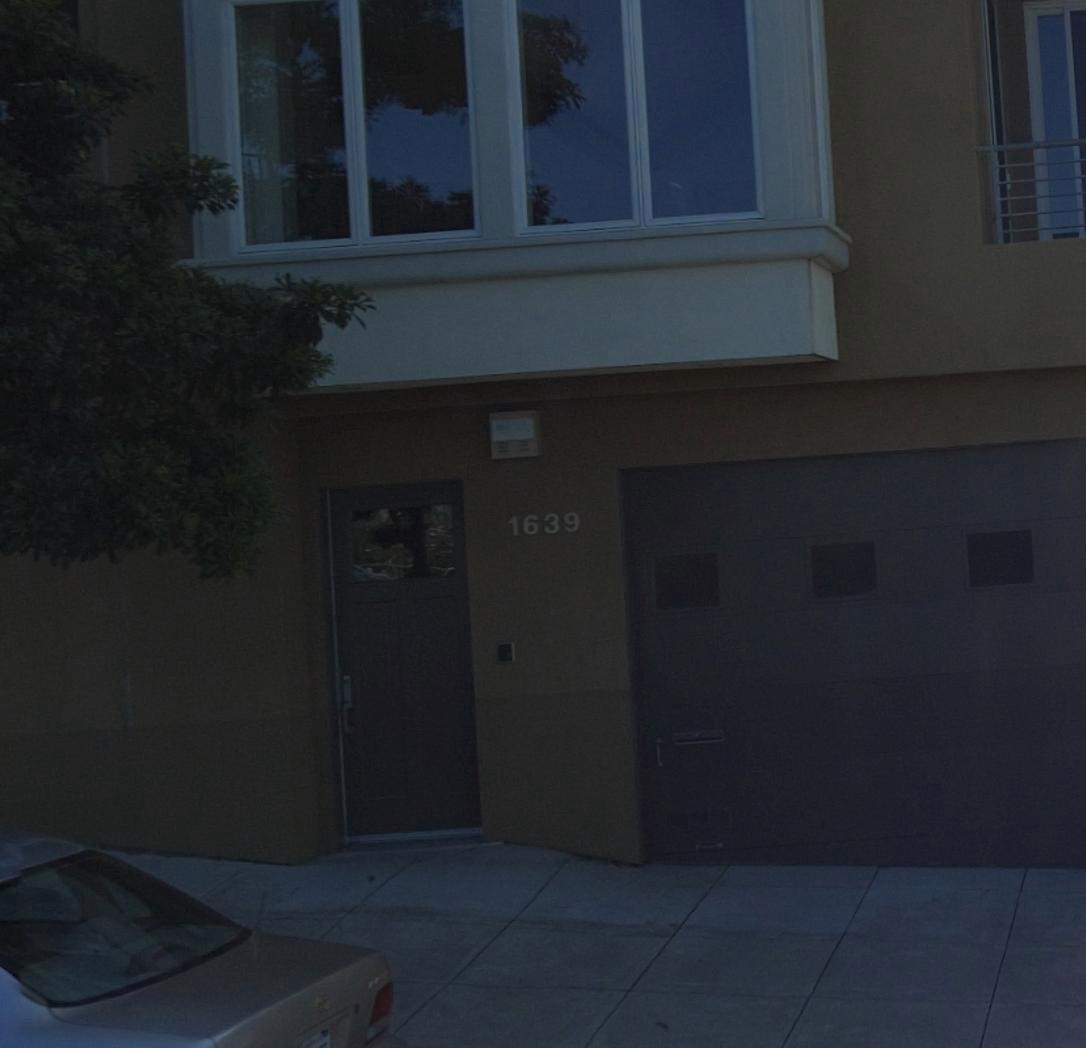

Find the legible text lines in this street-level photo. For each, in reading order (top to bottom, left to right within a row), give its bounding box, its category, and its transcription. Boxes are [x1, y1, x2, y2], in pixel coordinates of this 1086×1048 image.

[507, 510, 582, 537] StreetNumber: 1639